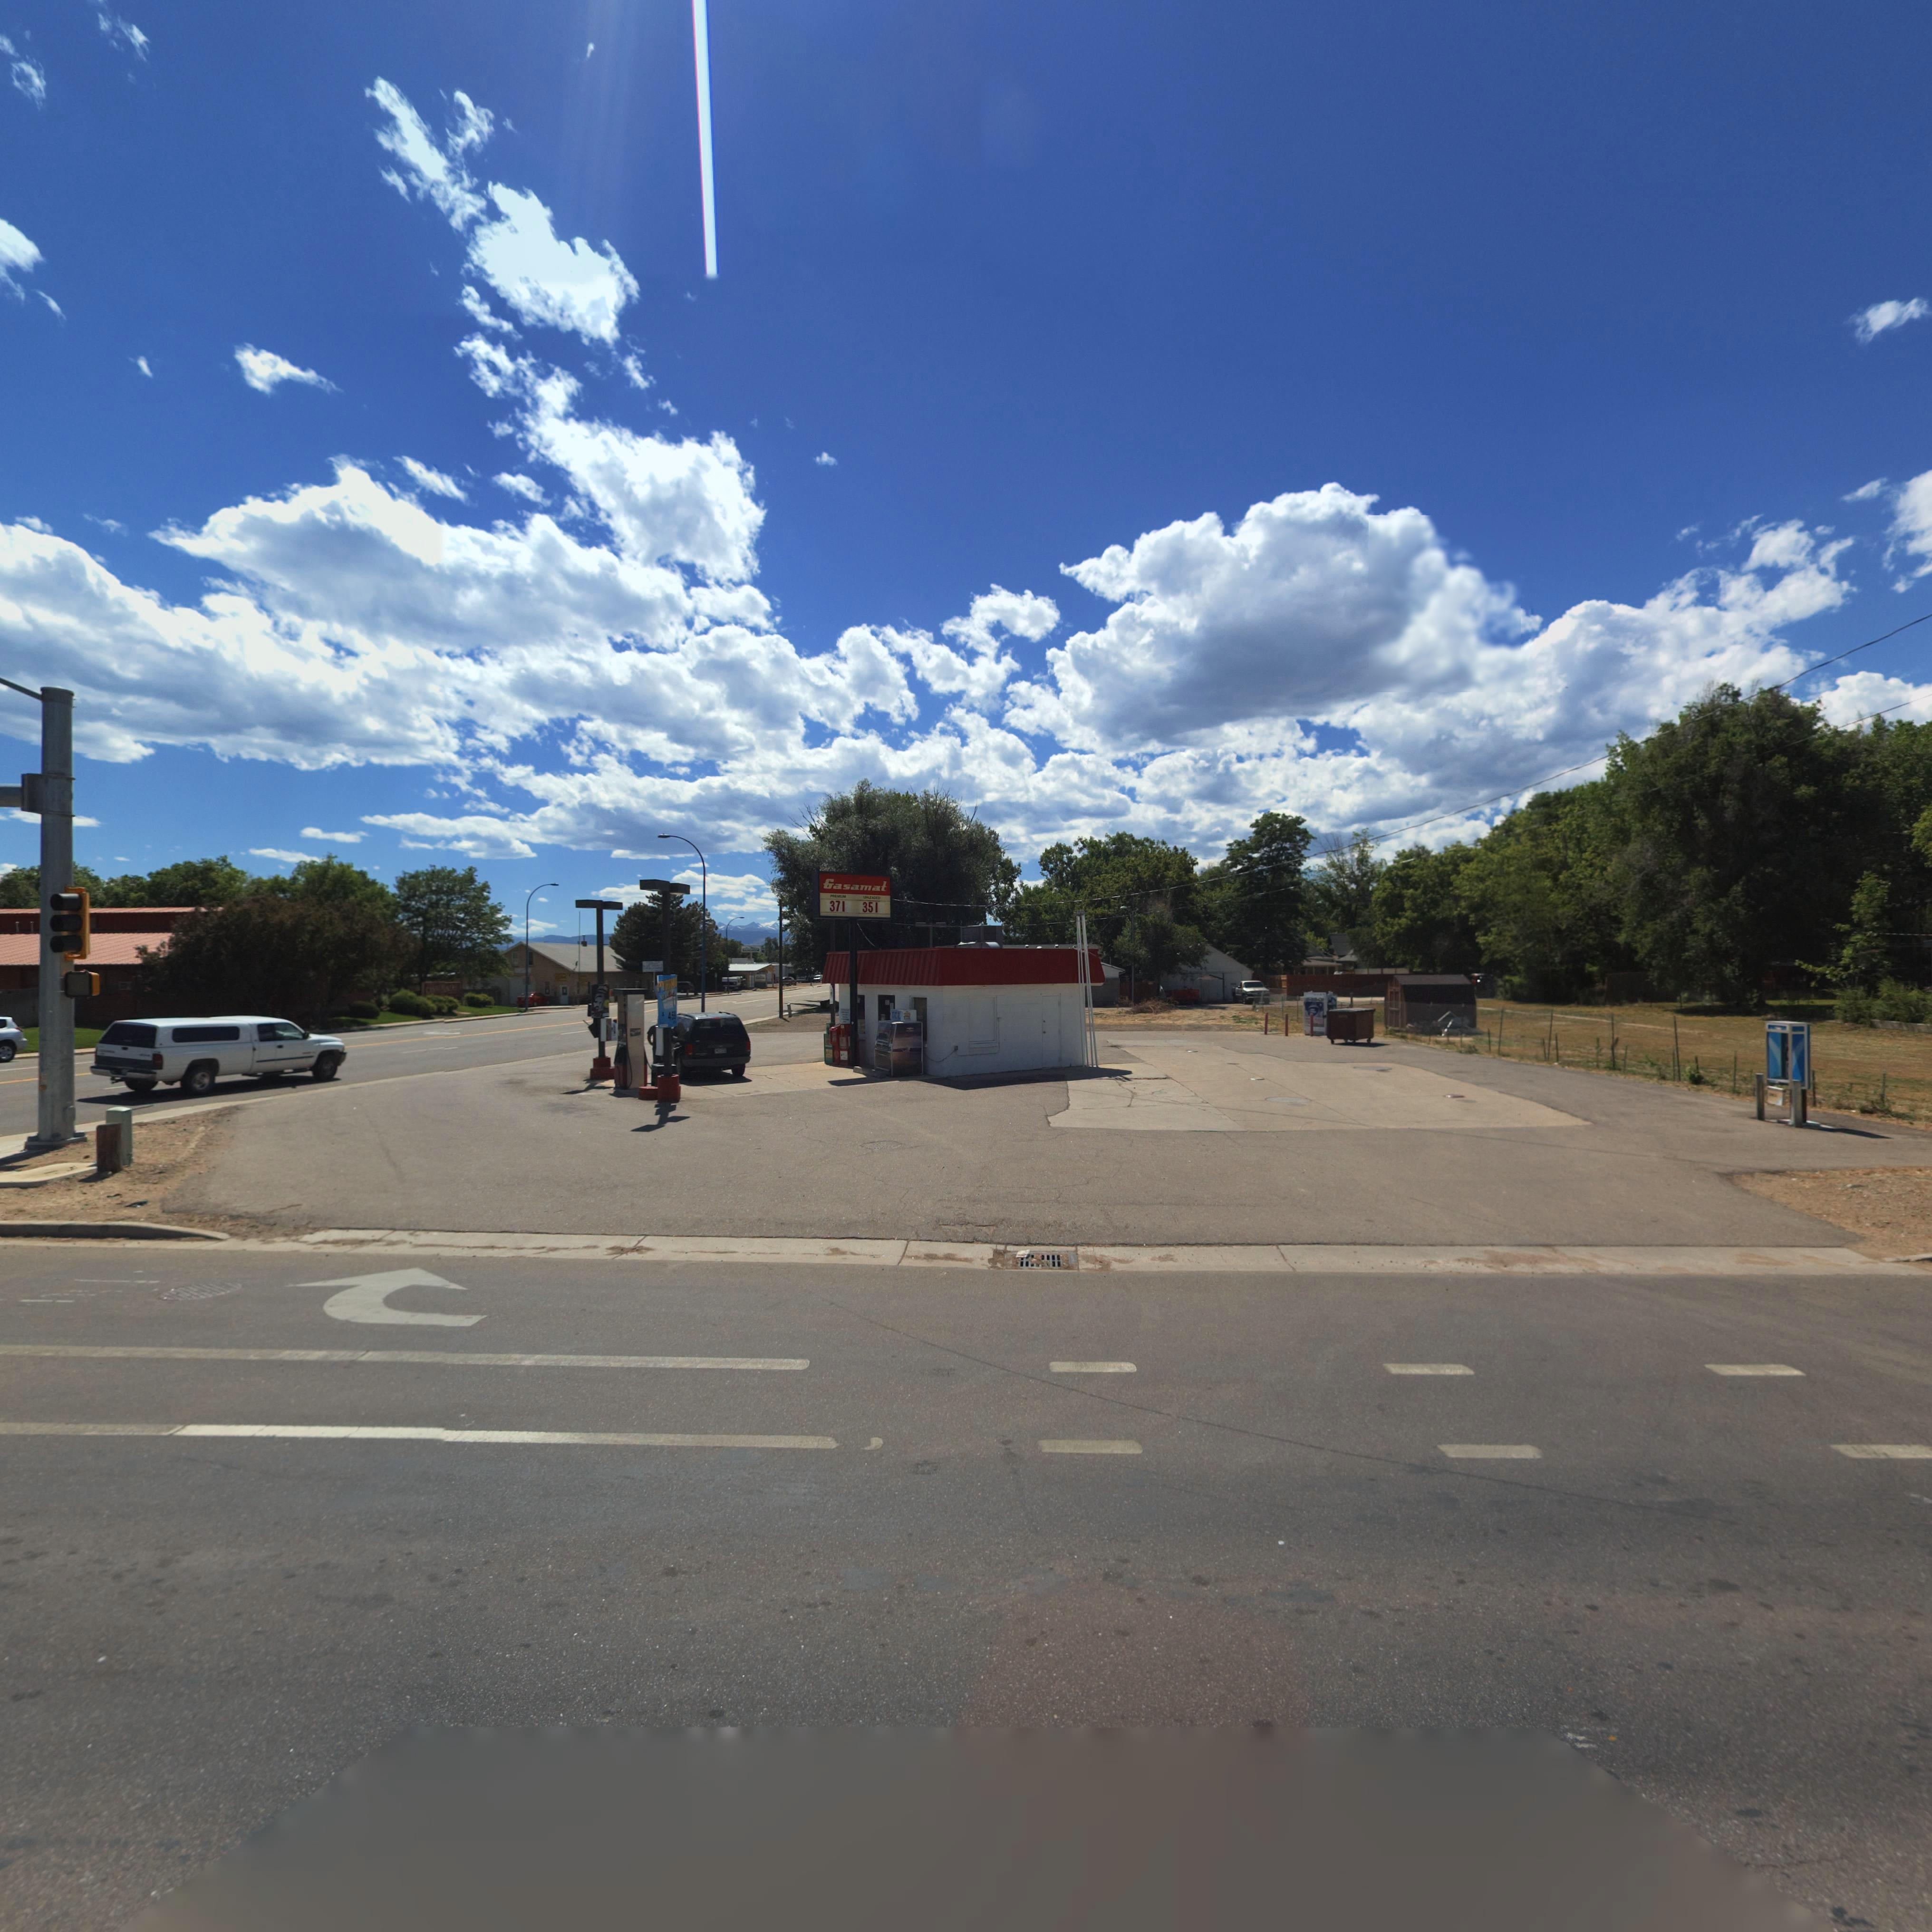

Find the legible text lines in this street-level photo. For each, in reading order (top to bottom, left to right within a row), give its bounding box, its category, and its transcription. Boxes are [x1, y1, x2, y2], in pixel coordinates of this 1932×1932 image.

[822, 878, 887, 891] BusinessName: Gasamat